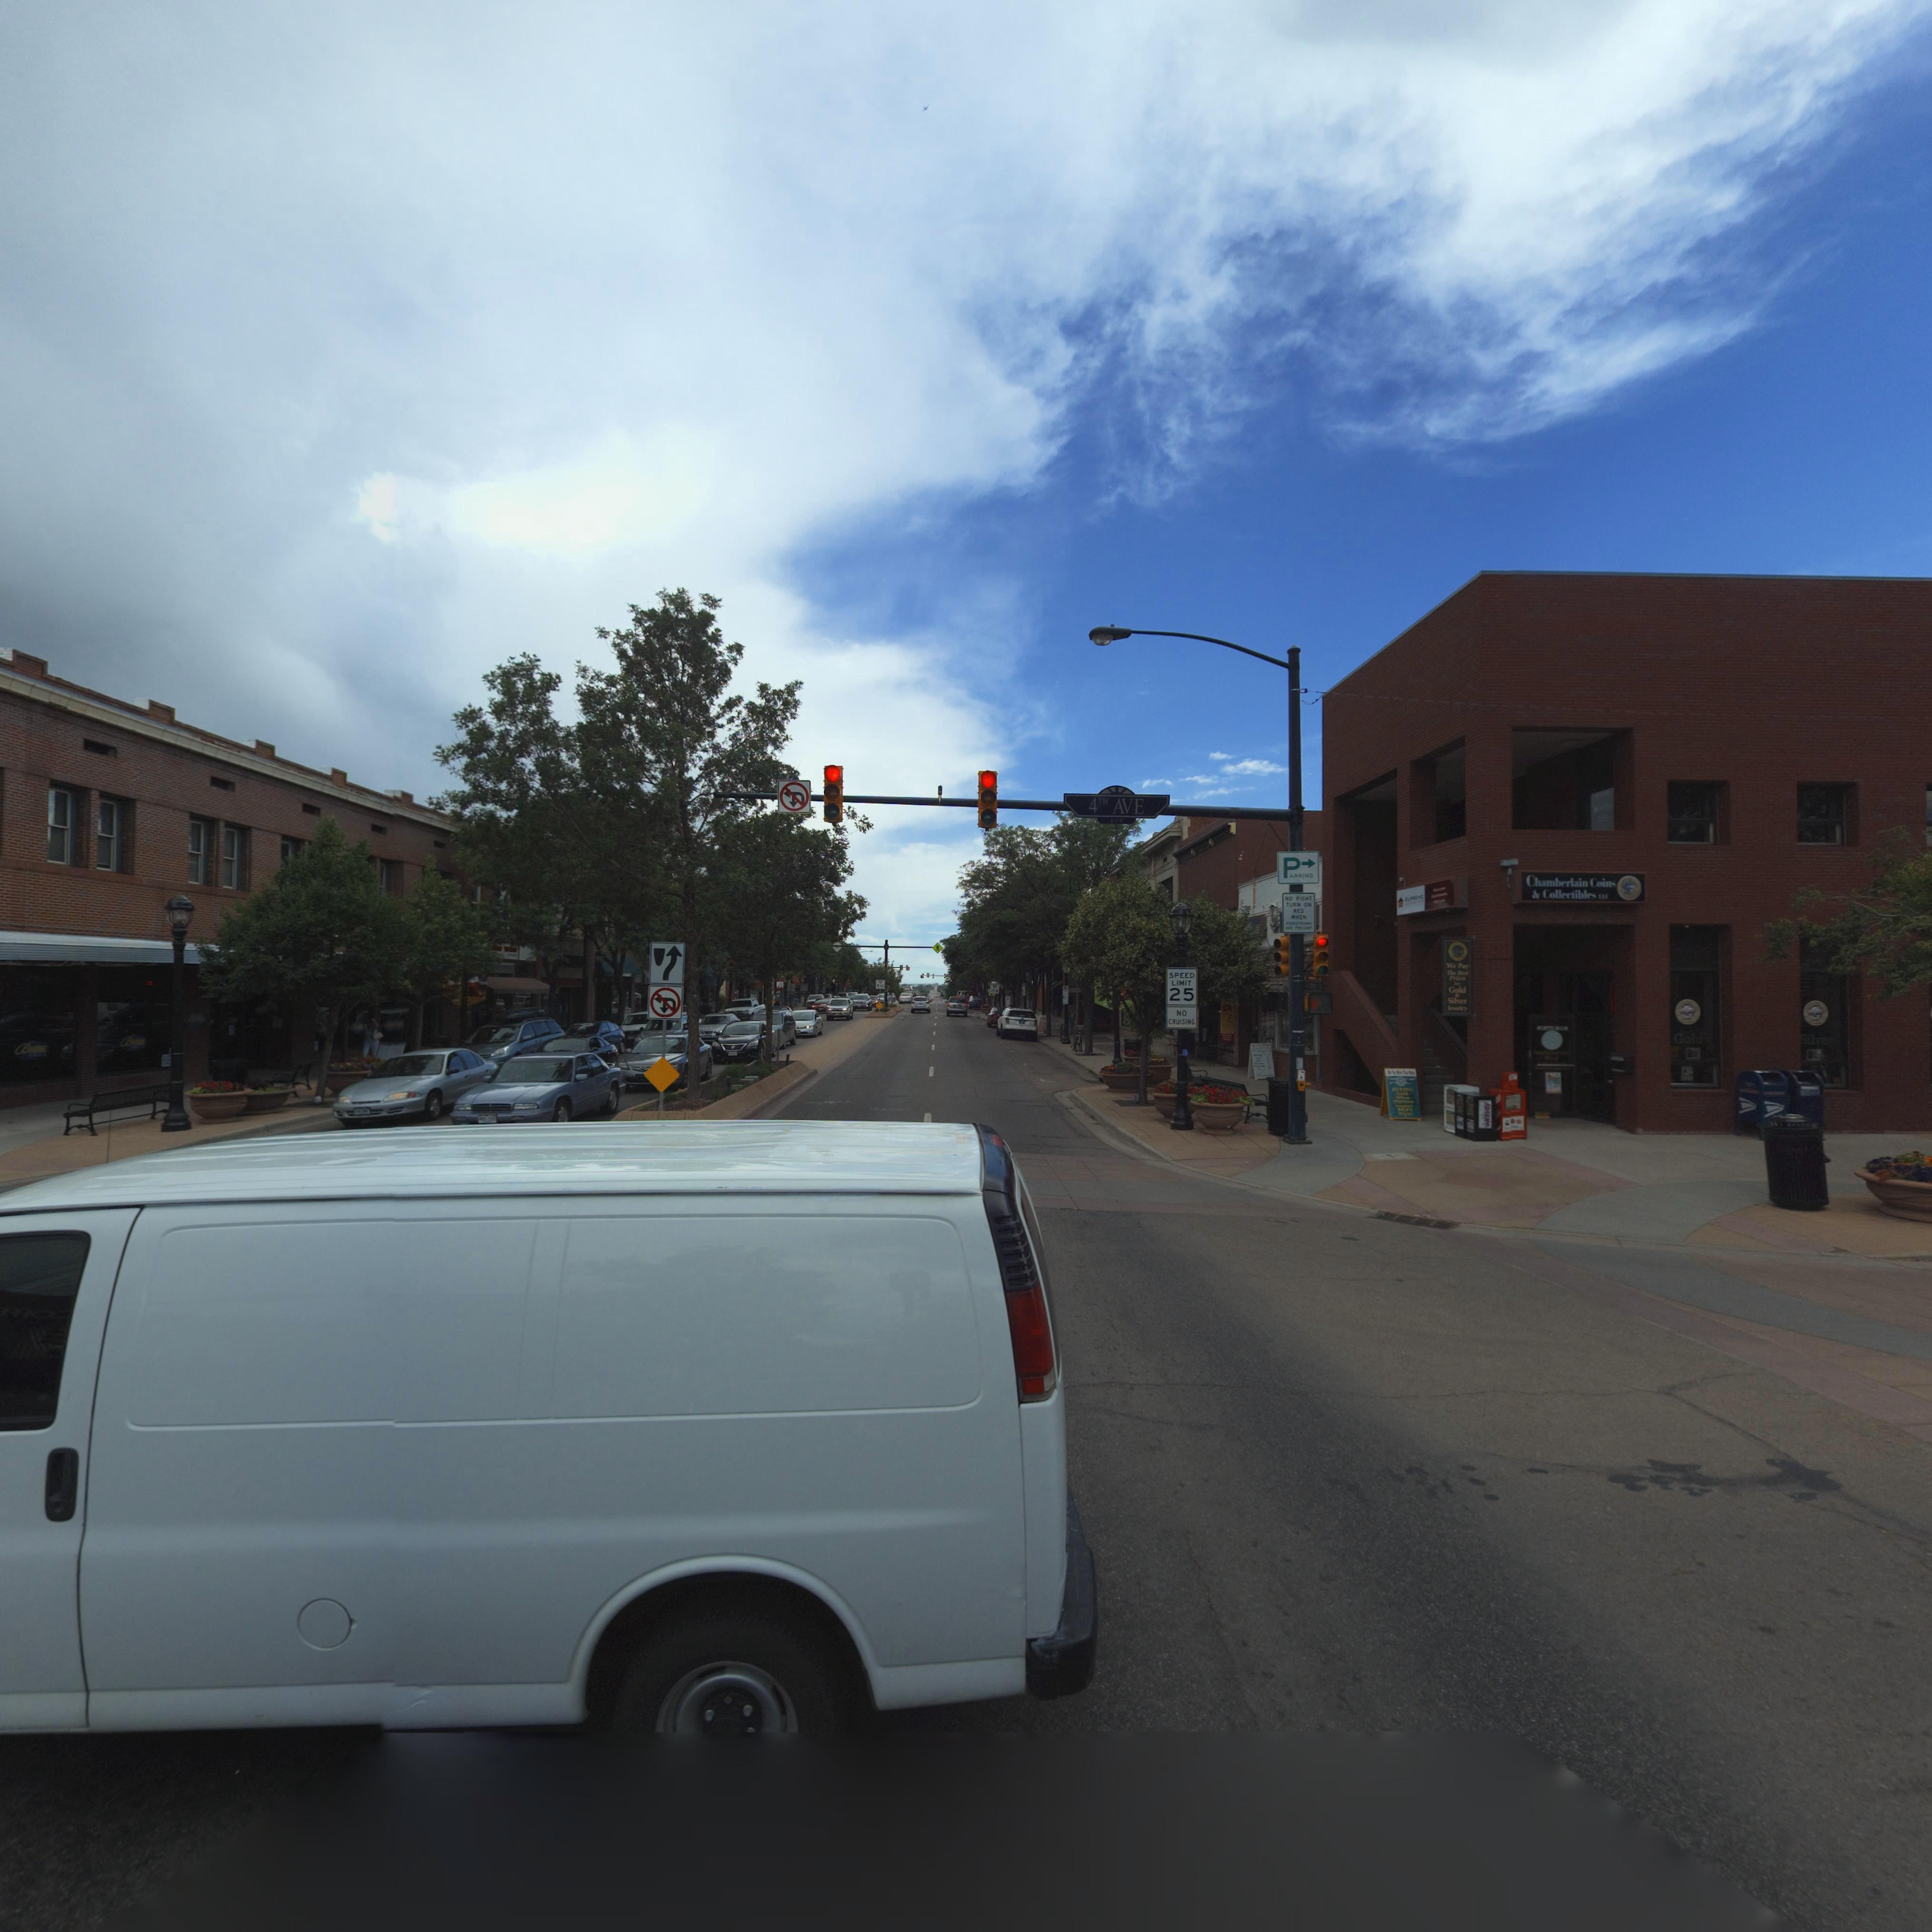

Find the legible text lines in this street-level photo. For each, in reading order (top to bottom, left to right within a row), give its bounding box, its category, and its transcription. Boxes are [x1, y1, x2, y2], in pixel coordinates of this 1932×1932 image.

[1089, 798, 1143, 814] StreetName: 4TH AVE
[1110, 818, 1122, 823] StreetNumber: 400
[1526, 874, 1617, 887] BusinessName: Chamberlain Coins
[1531, 889, 1610, 899] BusinessName: * Collectibles **C
[349, 1022, 364, 1032] BusinessName: B*******
[119, 1035, 145, 1047] BusinessName: B*******
[15, 1041, 48, 1055] BusinessName: B*******